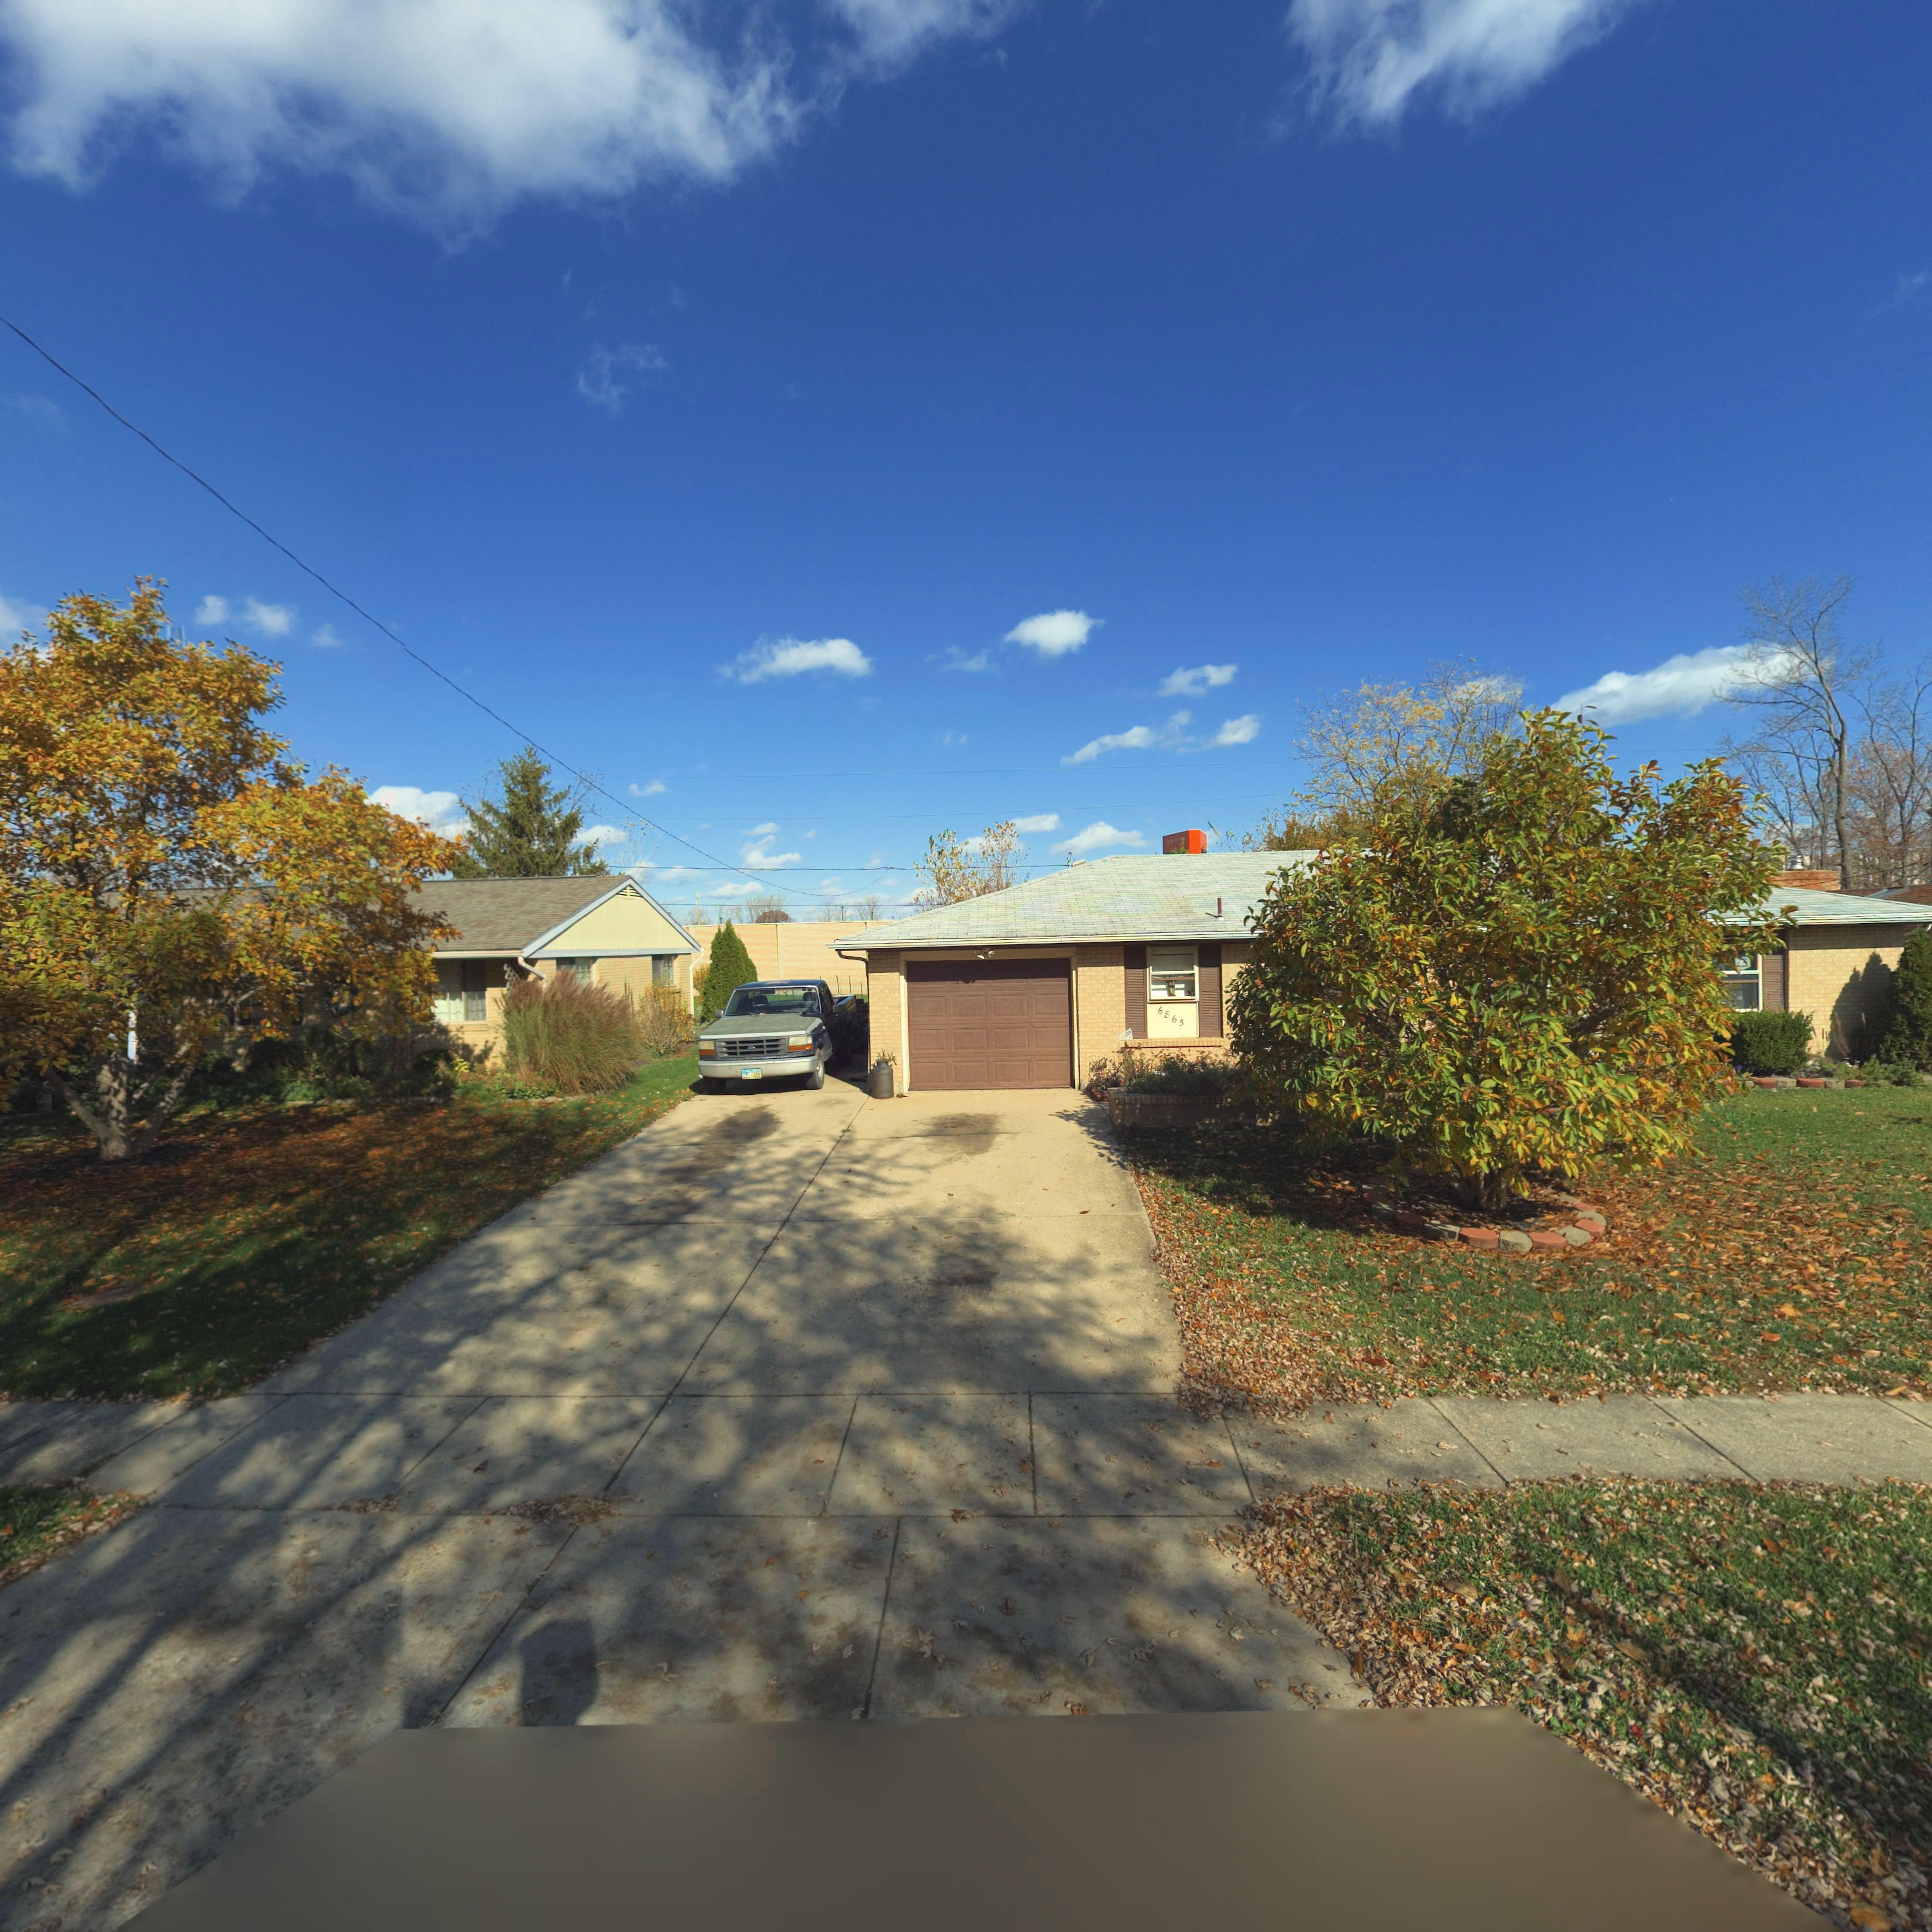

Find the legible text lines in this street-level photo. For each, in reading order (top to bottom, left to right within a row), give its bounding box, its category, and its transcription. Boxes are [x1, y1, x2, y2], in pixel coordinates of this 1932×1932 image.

[1157, 1005, 1186, 1028] StreetNumber: 6865